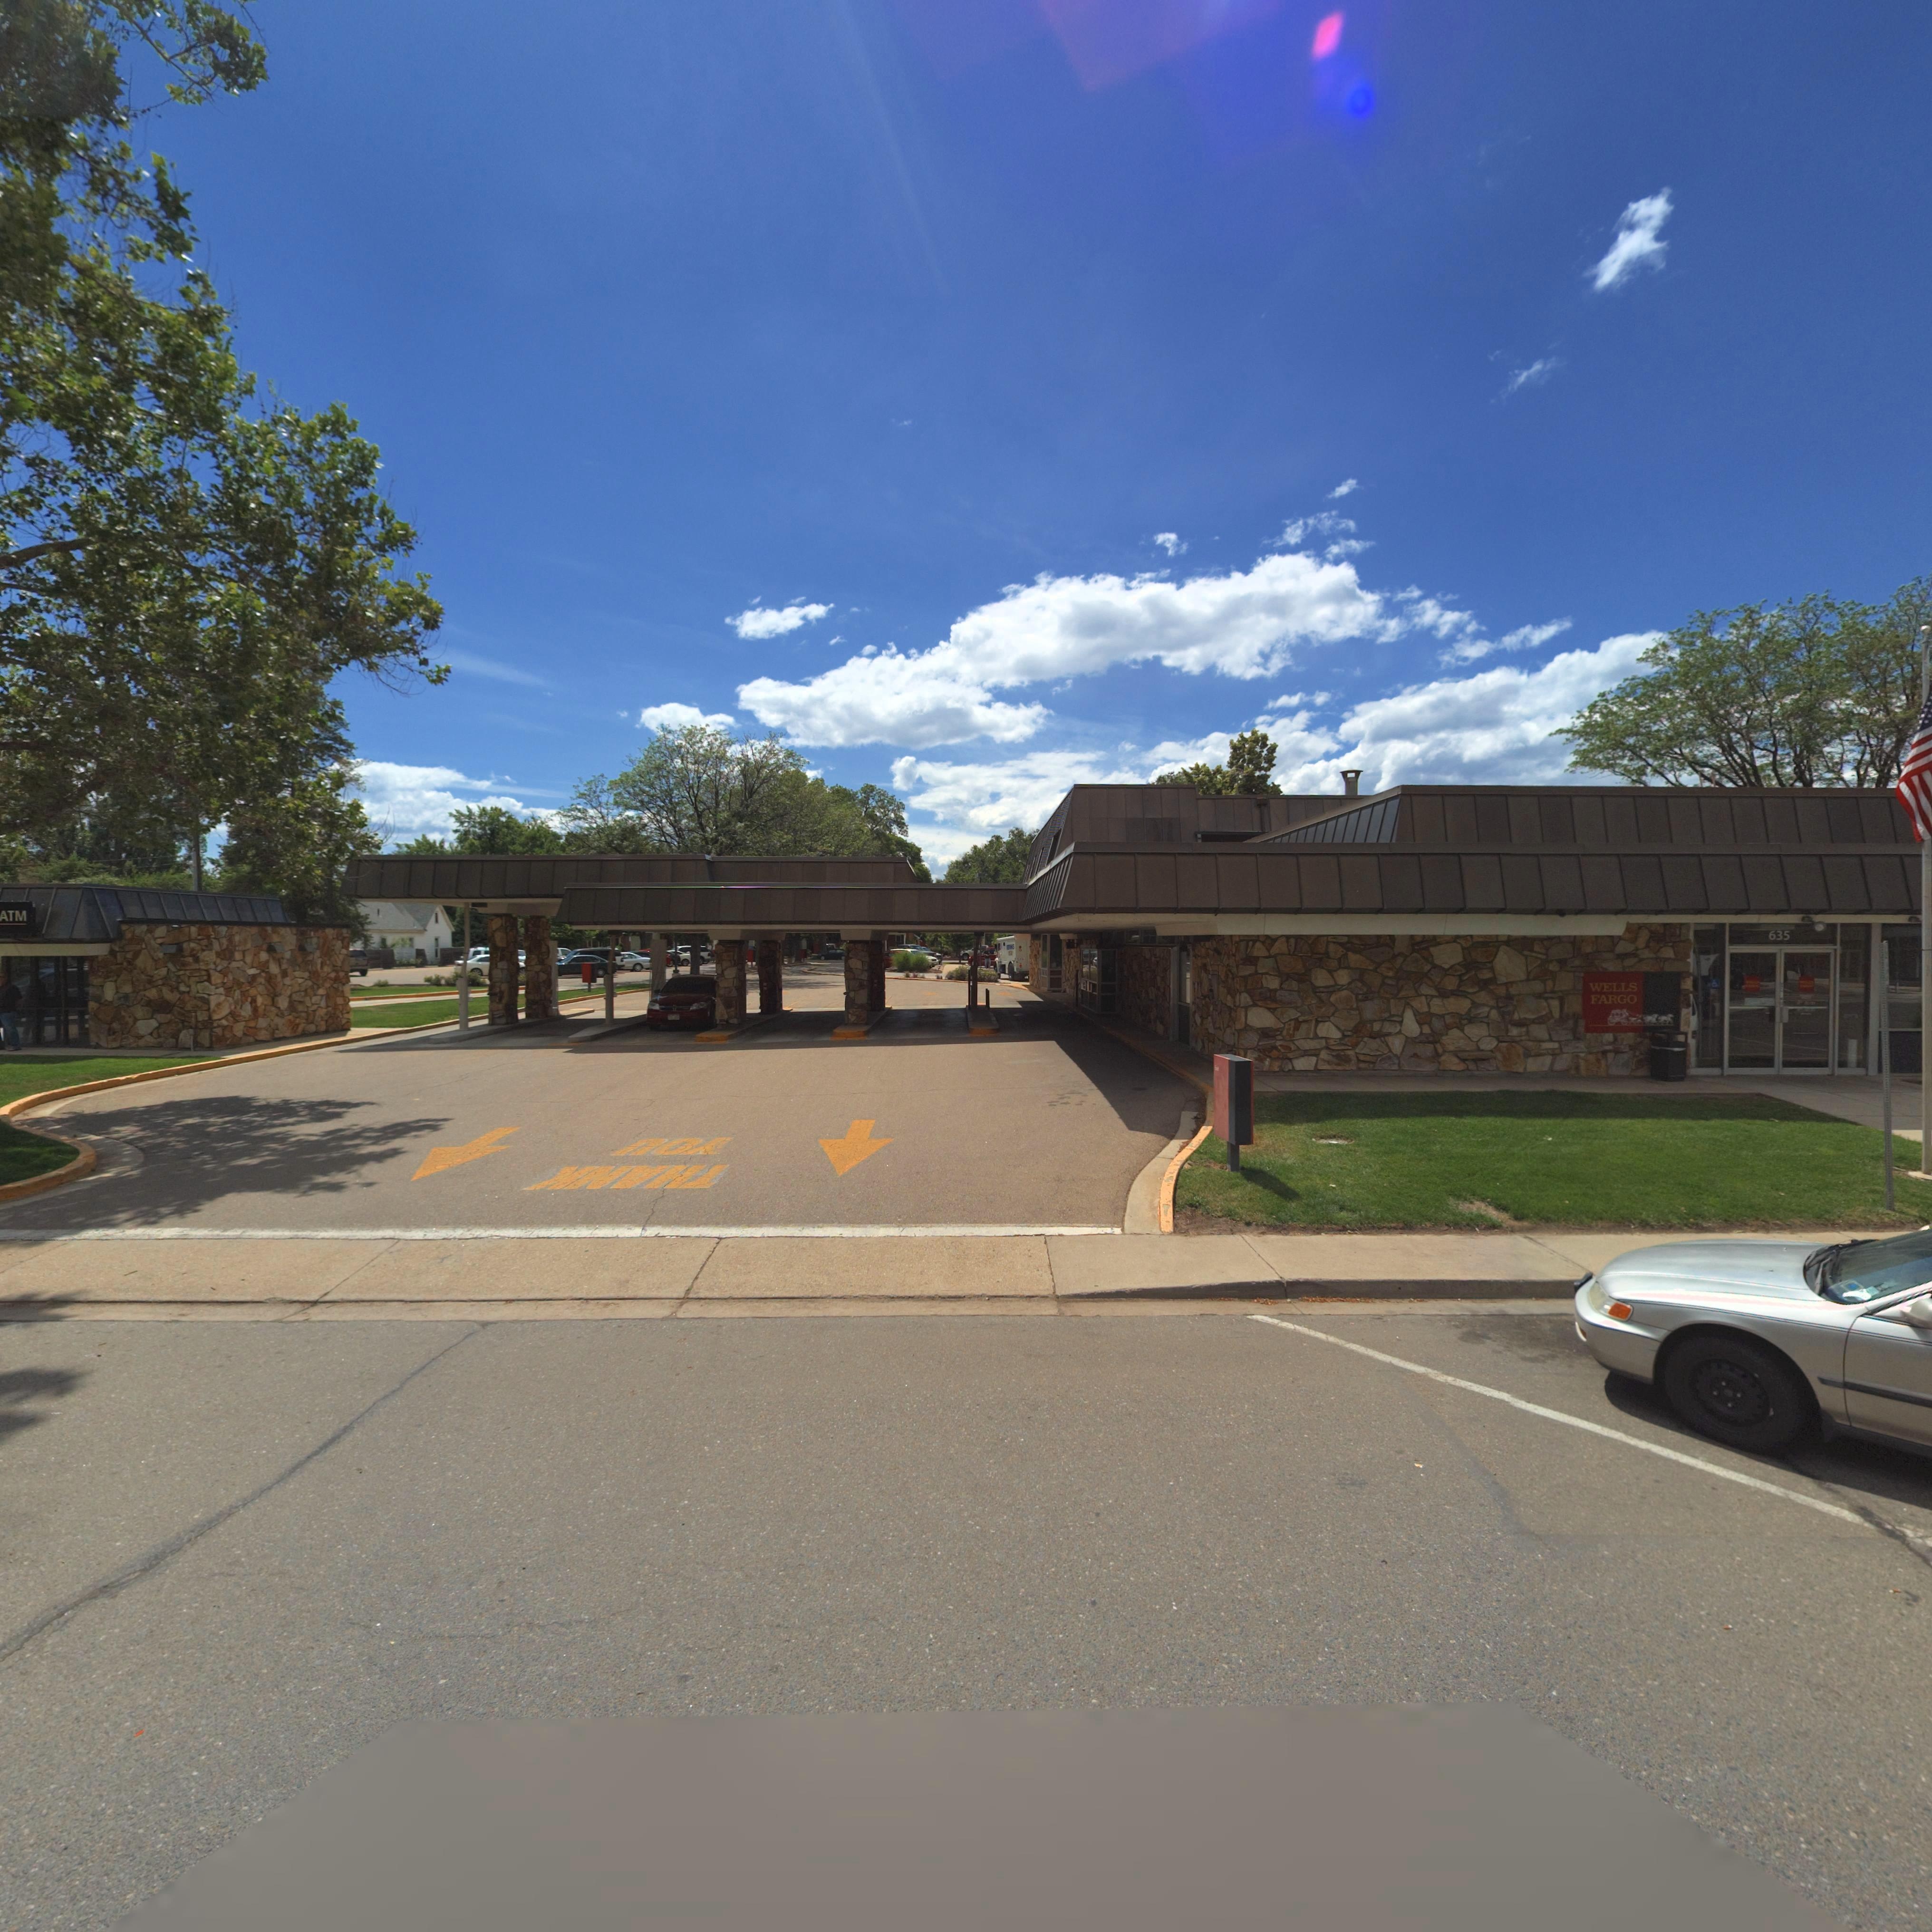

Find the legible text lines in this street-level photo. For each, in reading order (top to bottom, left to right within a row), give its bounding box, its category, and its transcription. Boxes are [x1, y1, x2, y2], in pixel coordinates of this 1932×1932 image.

[1768, 930, 1790, 941] StreetNumber: 635
[1588, 982, 1638, 992] BusinessName: WELLS
[1589, 994, 1637, 1005] BusinessName:  FARGO